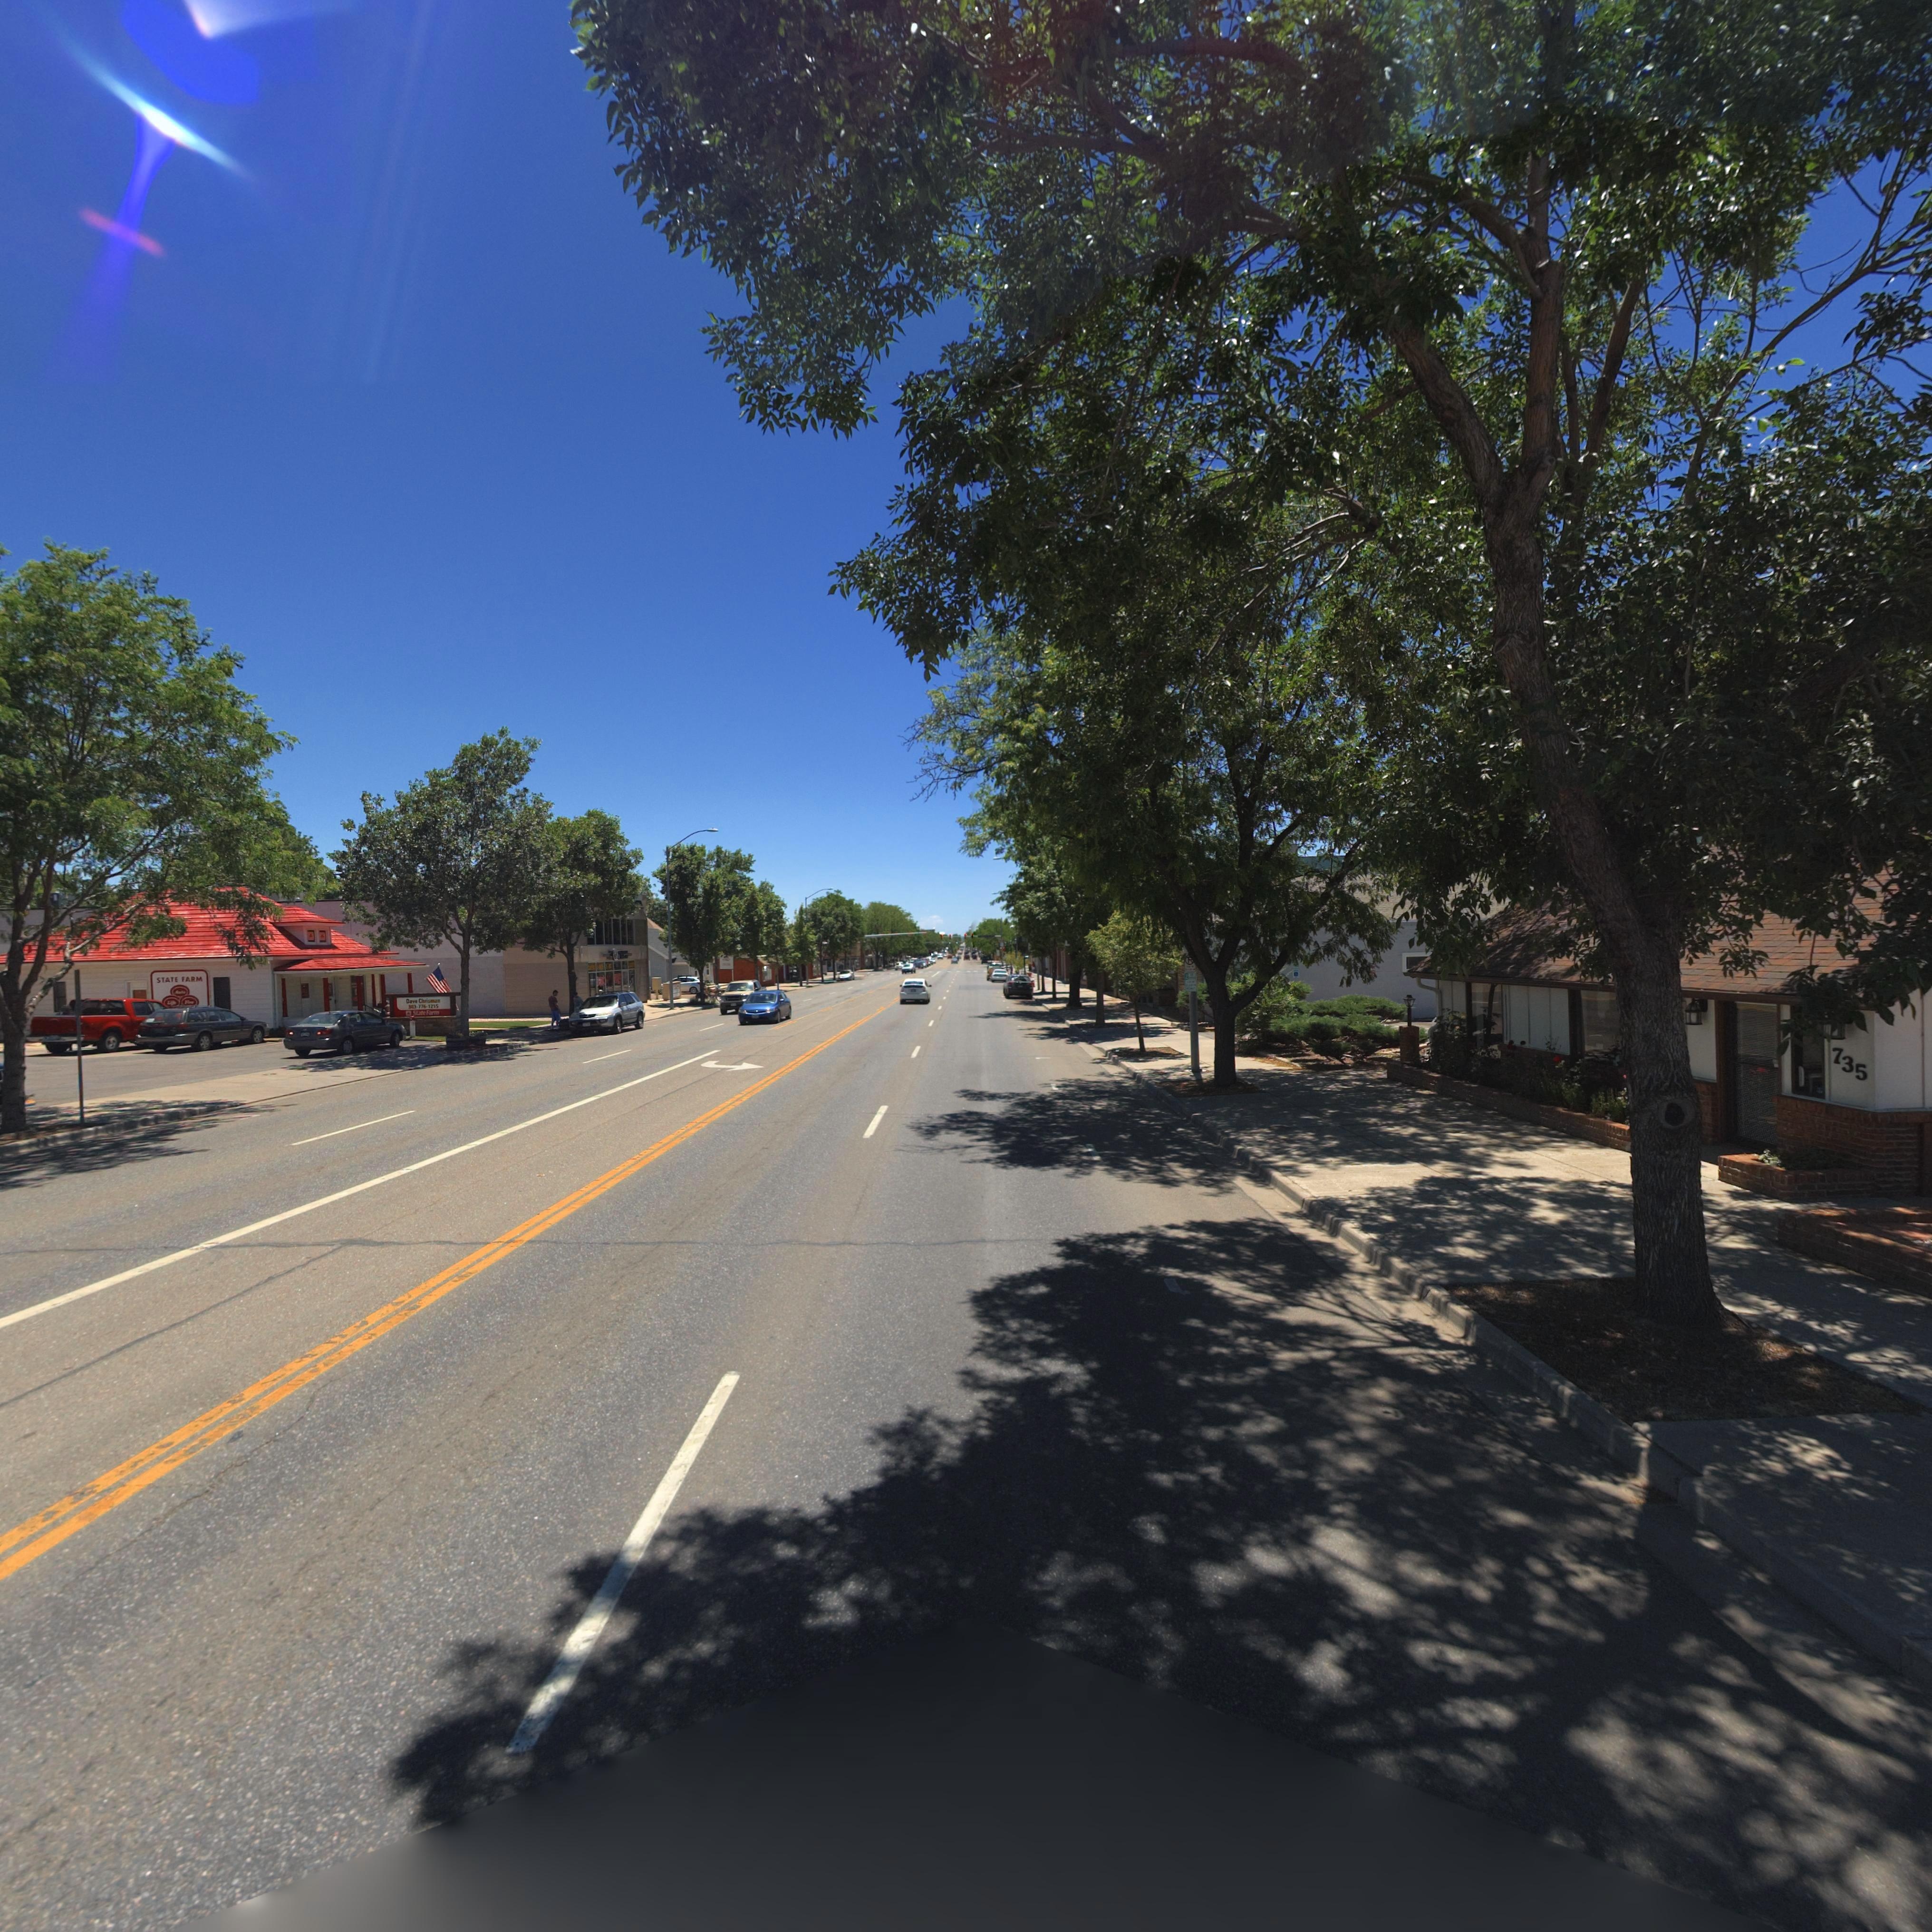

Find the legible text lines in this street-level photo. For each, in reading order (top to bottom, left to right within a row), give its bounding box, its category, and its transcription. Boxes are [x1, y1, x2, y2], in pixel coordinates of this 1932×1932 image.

[156, 976, 203, 983] BusinessName: STATE FARM
[413, 1010, 439, 1015] BusinessName: State Farm
[1832, 1047, 1868, 1081] StreetNumber: 735